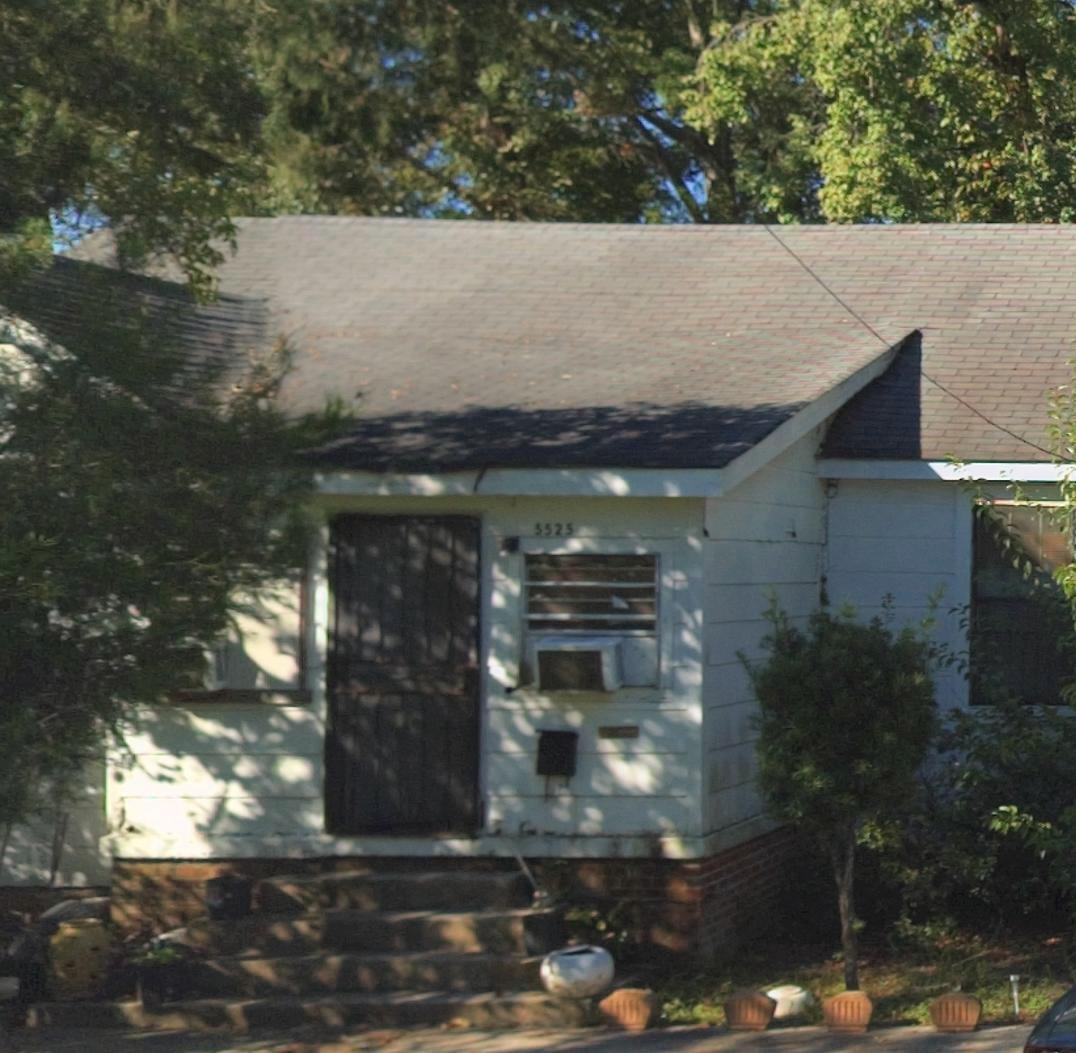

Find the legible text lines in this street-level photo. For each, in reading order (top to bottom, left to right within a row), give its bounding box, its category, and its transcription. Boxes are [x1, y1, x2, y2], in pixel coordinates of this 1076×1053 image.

[533, 521, 575, 537] StreetNumber: 5525